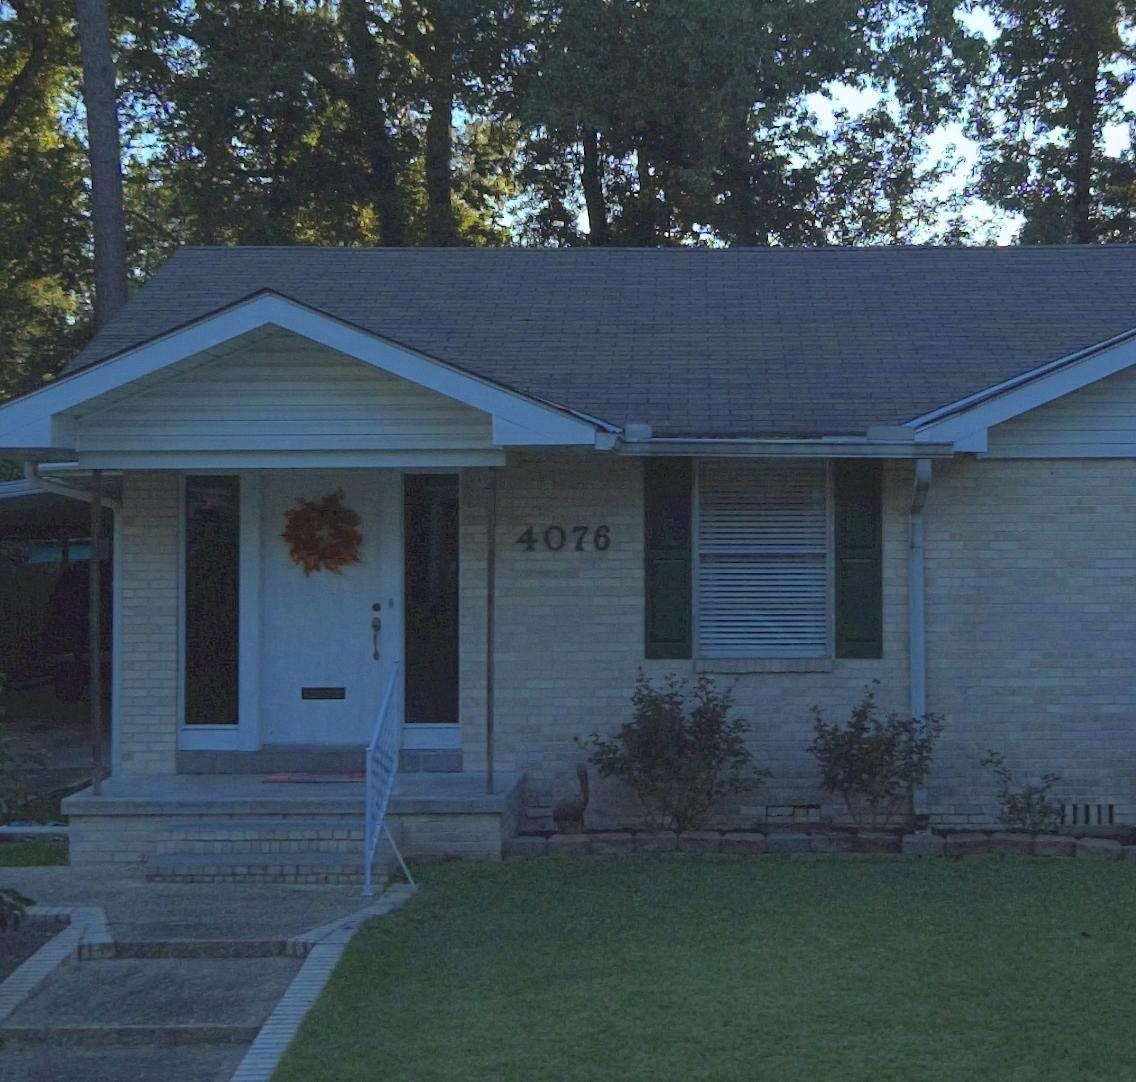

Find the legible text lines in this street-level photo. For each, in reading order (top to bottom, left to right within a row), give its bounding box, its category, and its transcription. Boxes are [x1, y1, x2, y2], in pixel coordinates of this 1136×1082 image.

[512, 523, 612, 553] StreetNumber: 4076